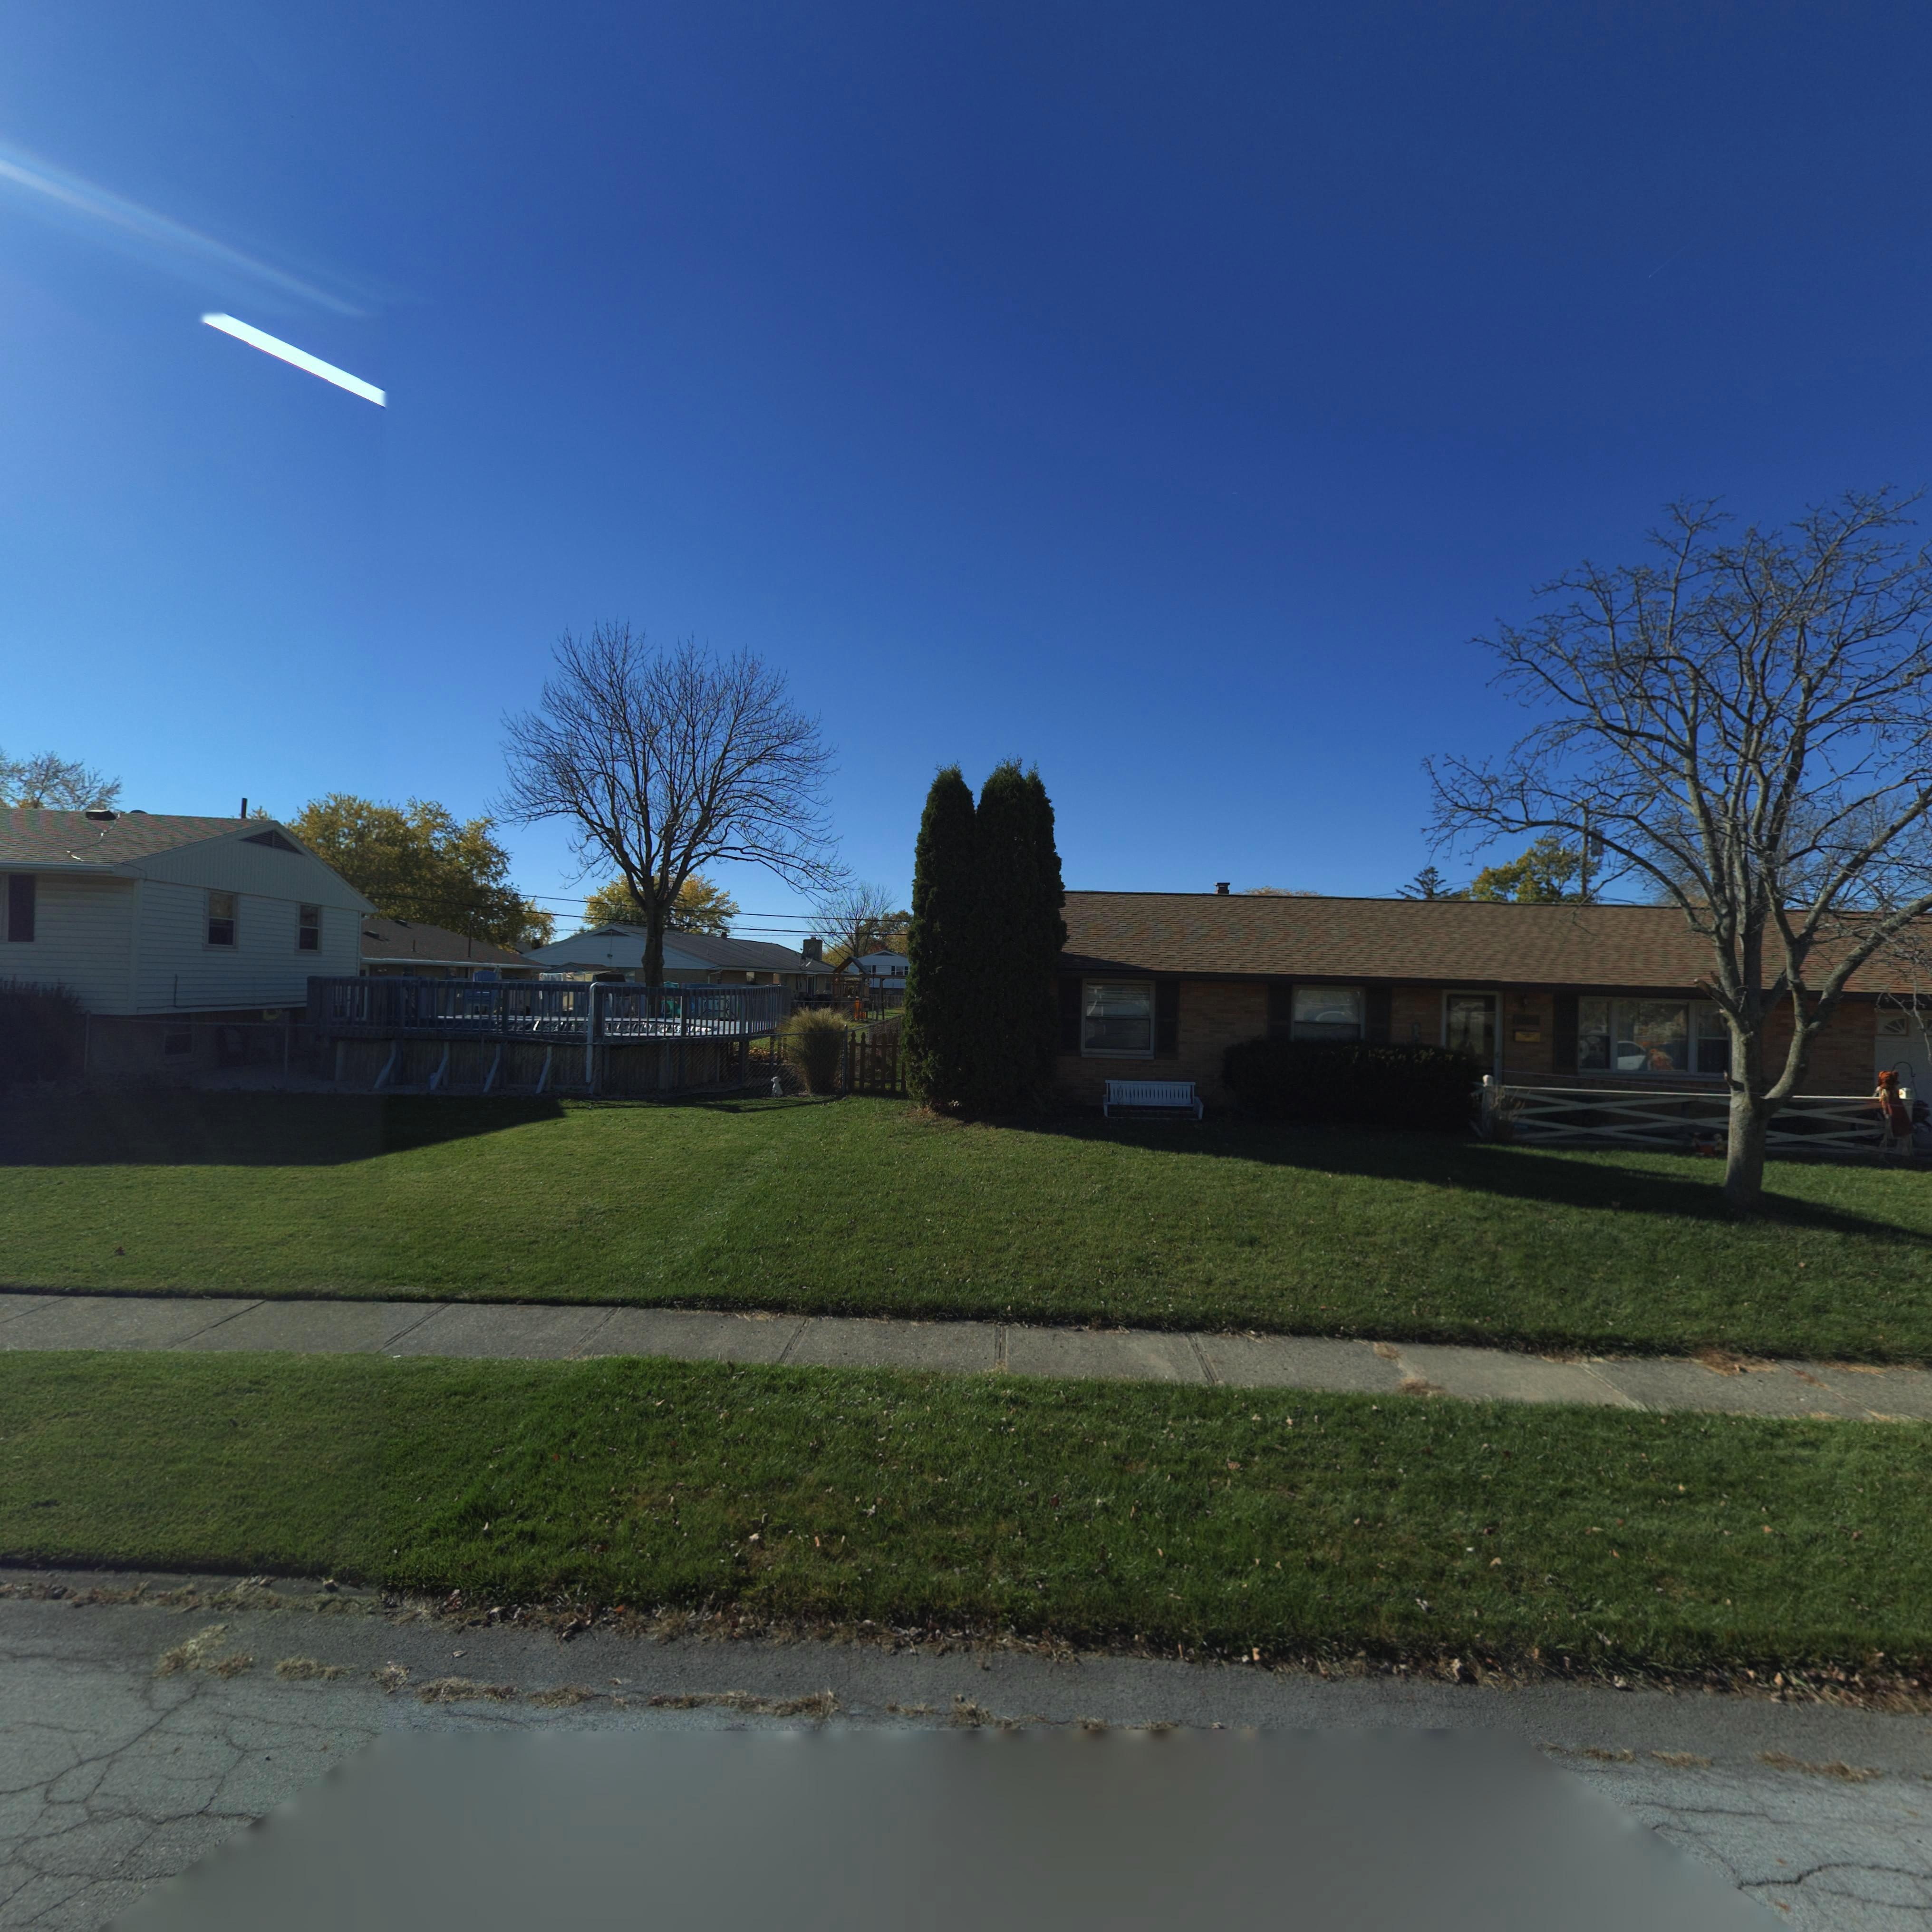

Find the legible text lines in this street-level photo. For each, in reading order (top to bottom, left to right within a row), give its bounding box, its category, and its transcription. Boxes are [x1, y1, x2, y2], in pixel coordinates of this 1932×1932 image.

[1414, 1024, 1419, 1030] StreetNumber: 6